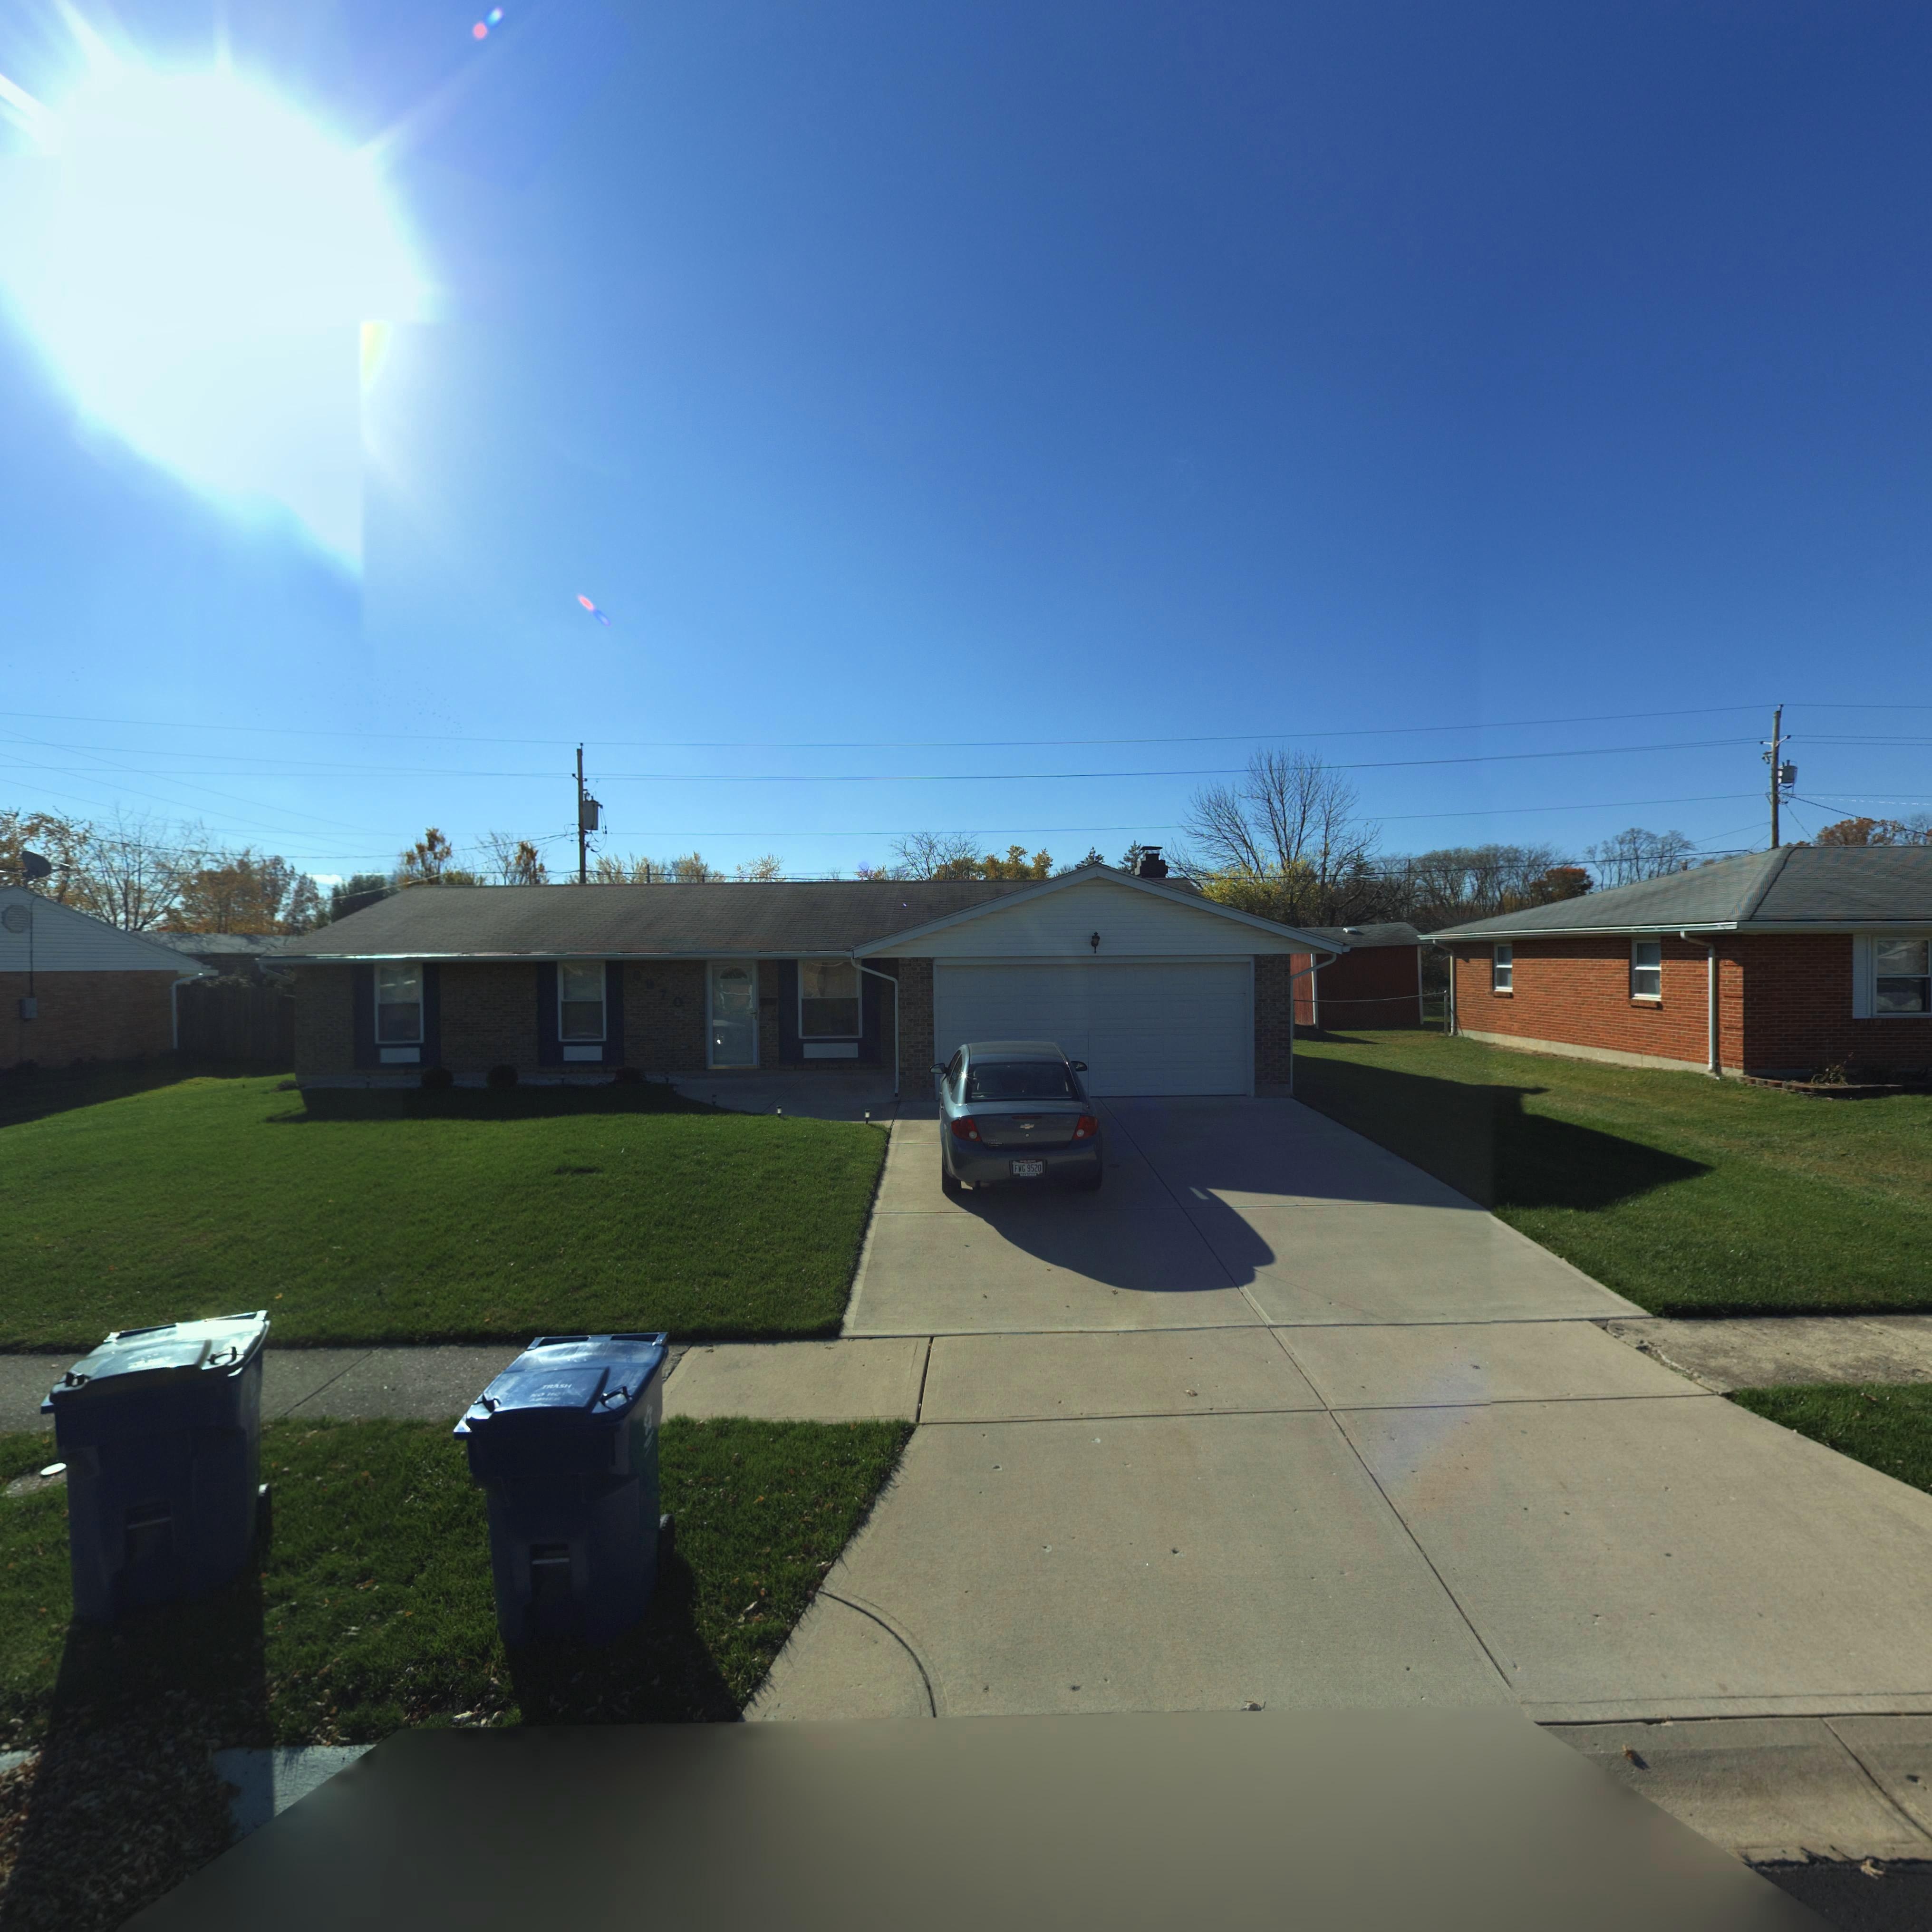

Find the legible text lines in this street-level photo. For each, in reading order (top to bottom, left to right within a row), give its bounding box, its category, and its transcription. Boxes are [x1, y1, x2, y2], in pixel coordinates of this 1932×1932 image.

[632, 969, 685, 1008] StreetNumber: 6970